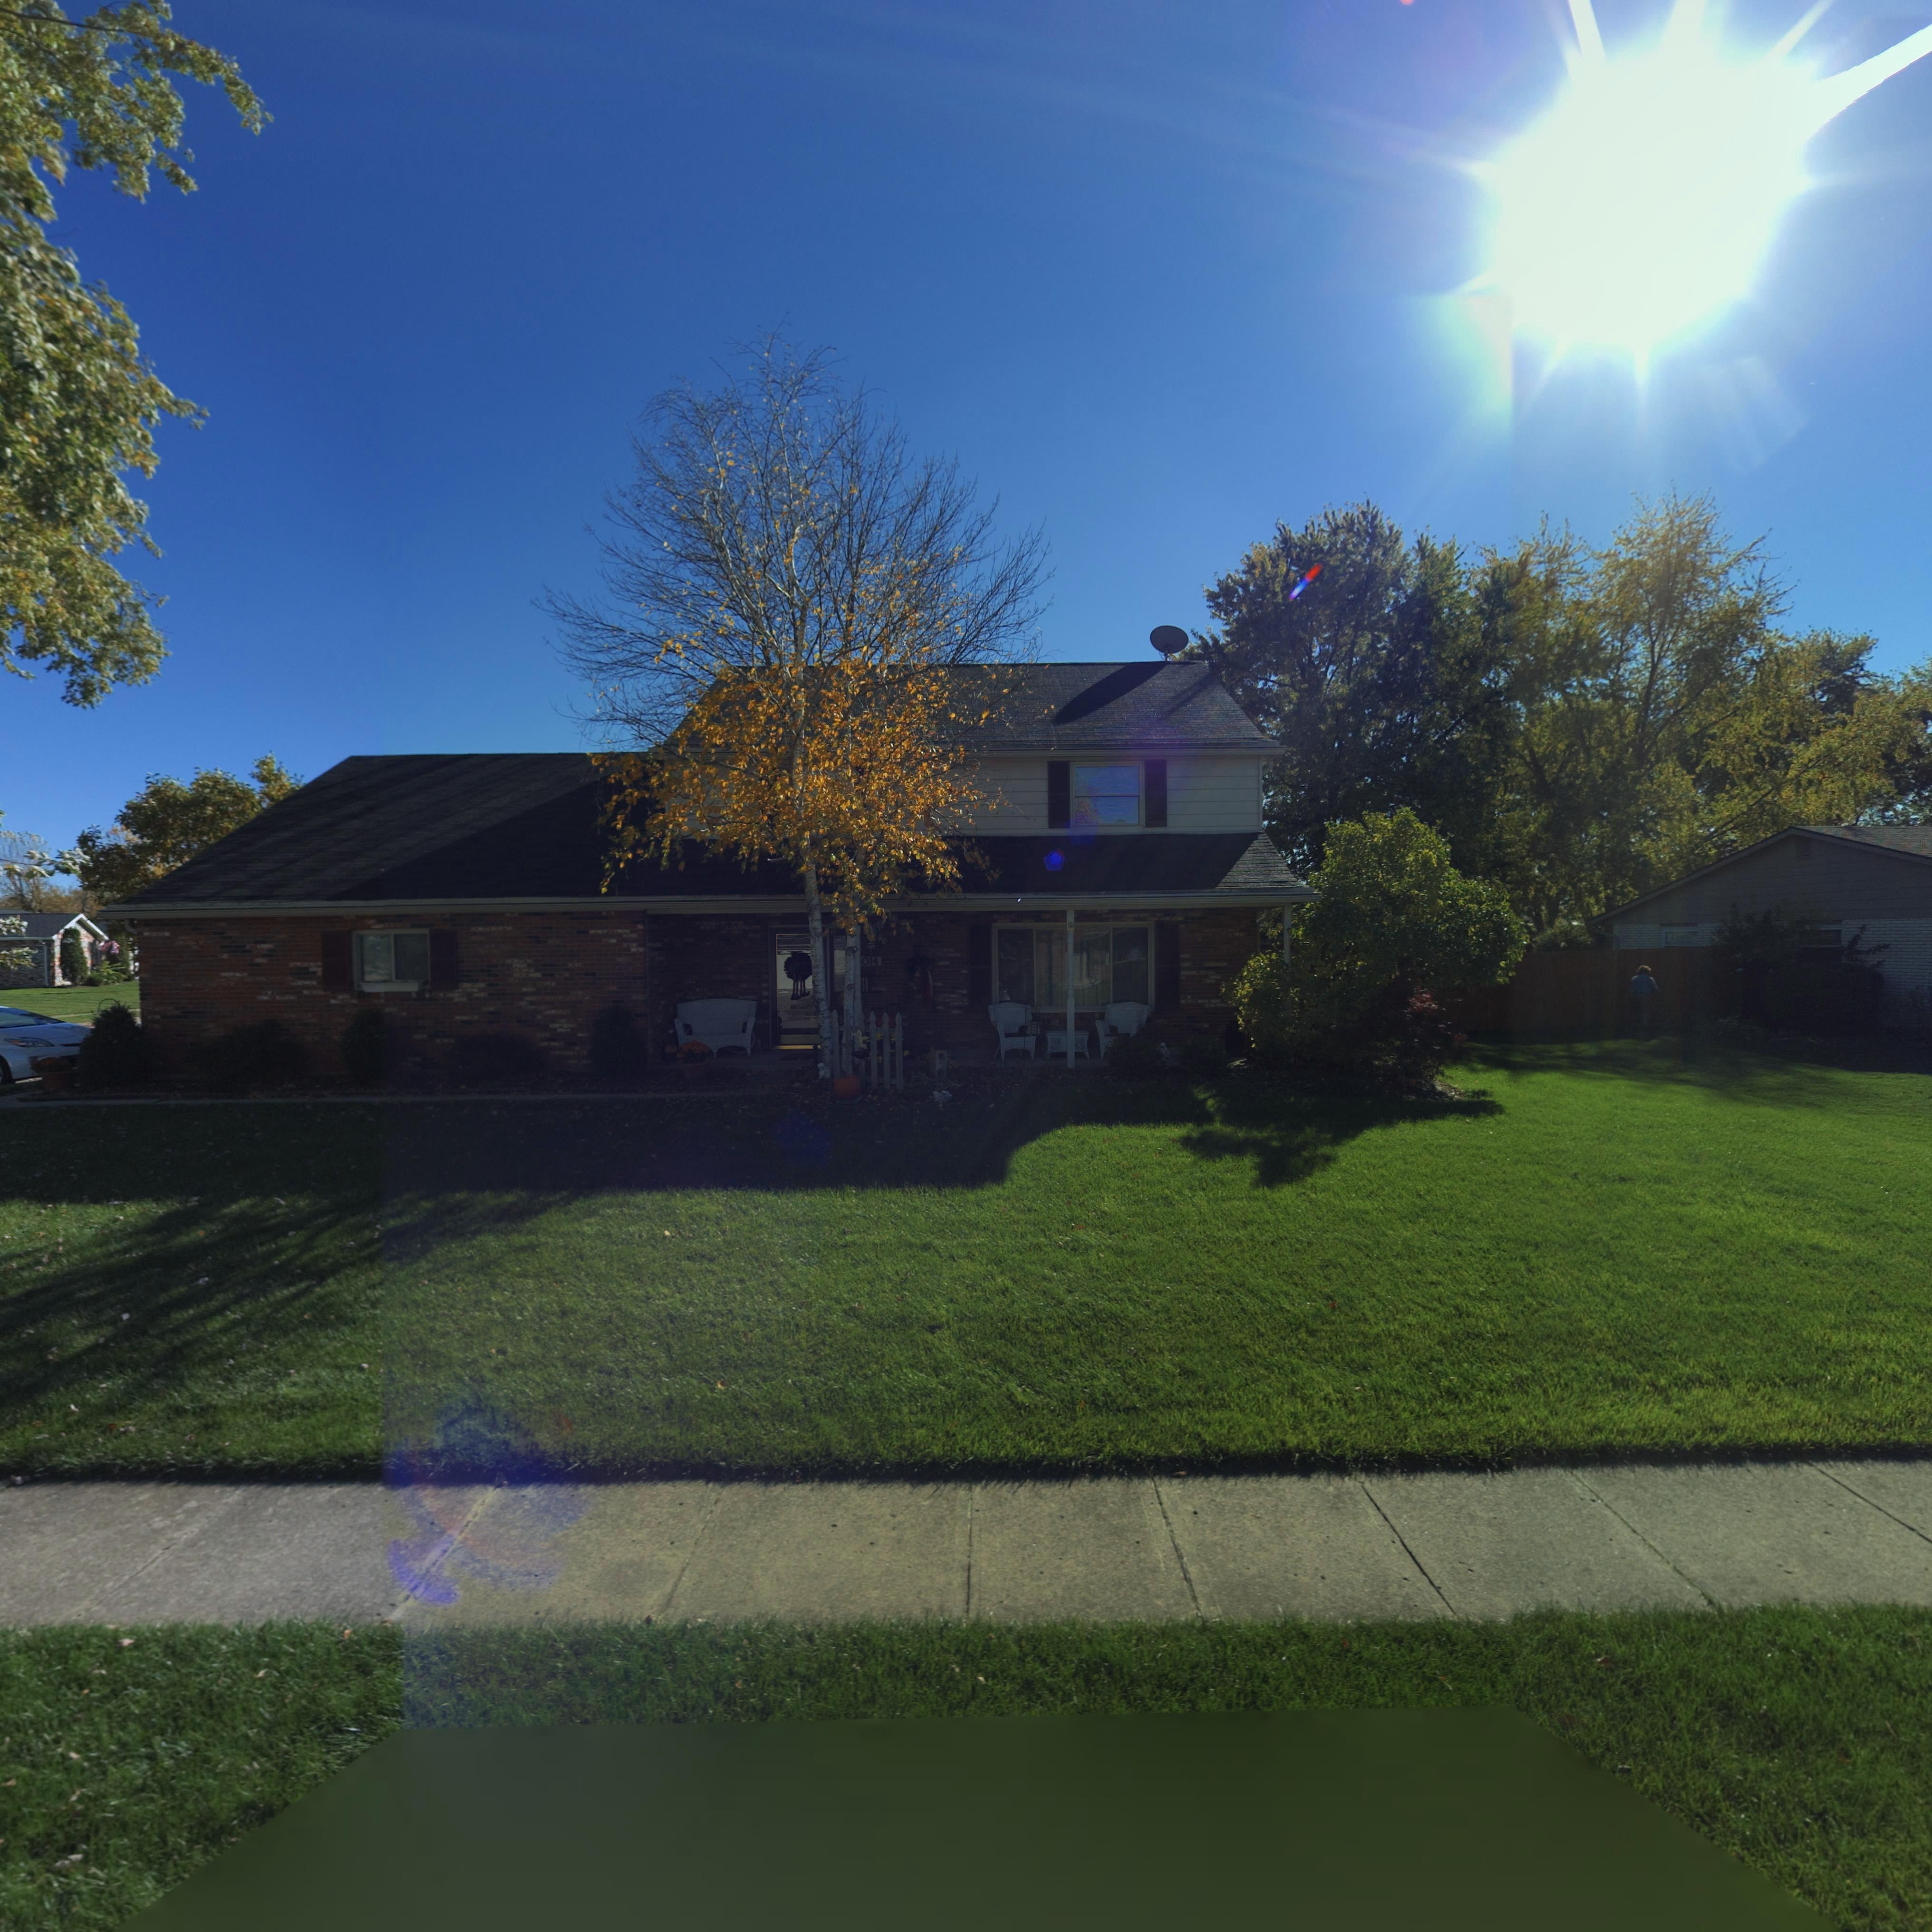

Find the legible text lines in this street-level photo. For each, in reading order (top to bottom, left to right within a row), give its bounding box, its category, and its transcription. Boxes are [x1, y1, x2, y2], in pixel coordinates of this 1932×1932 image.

[861, 956, 879, 966] StreetNumber: 014